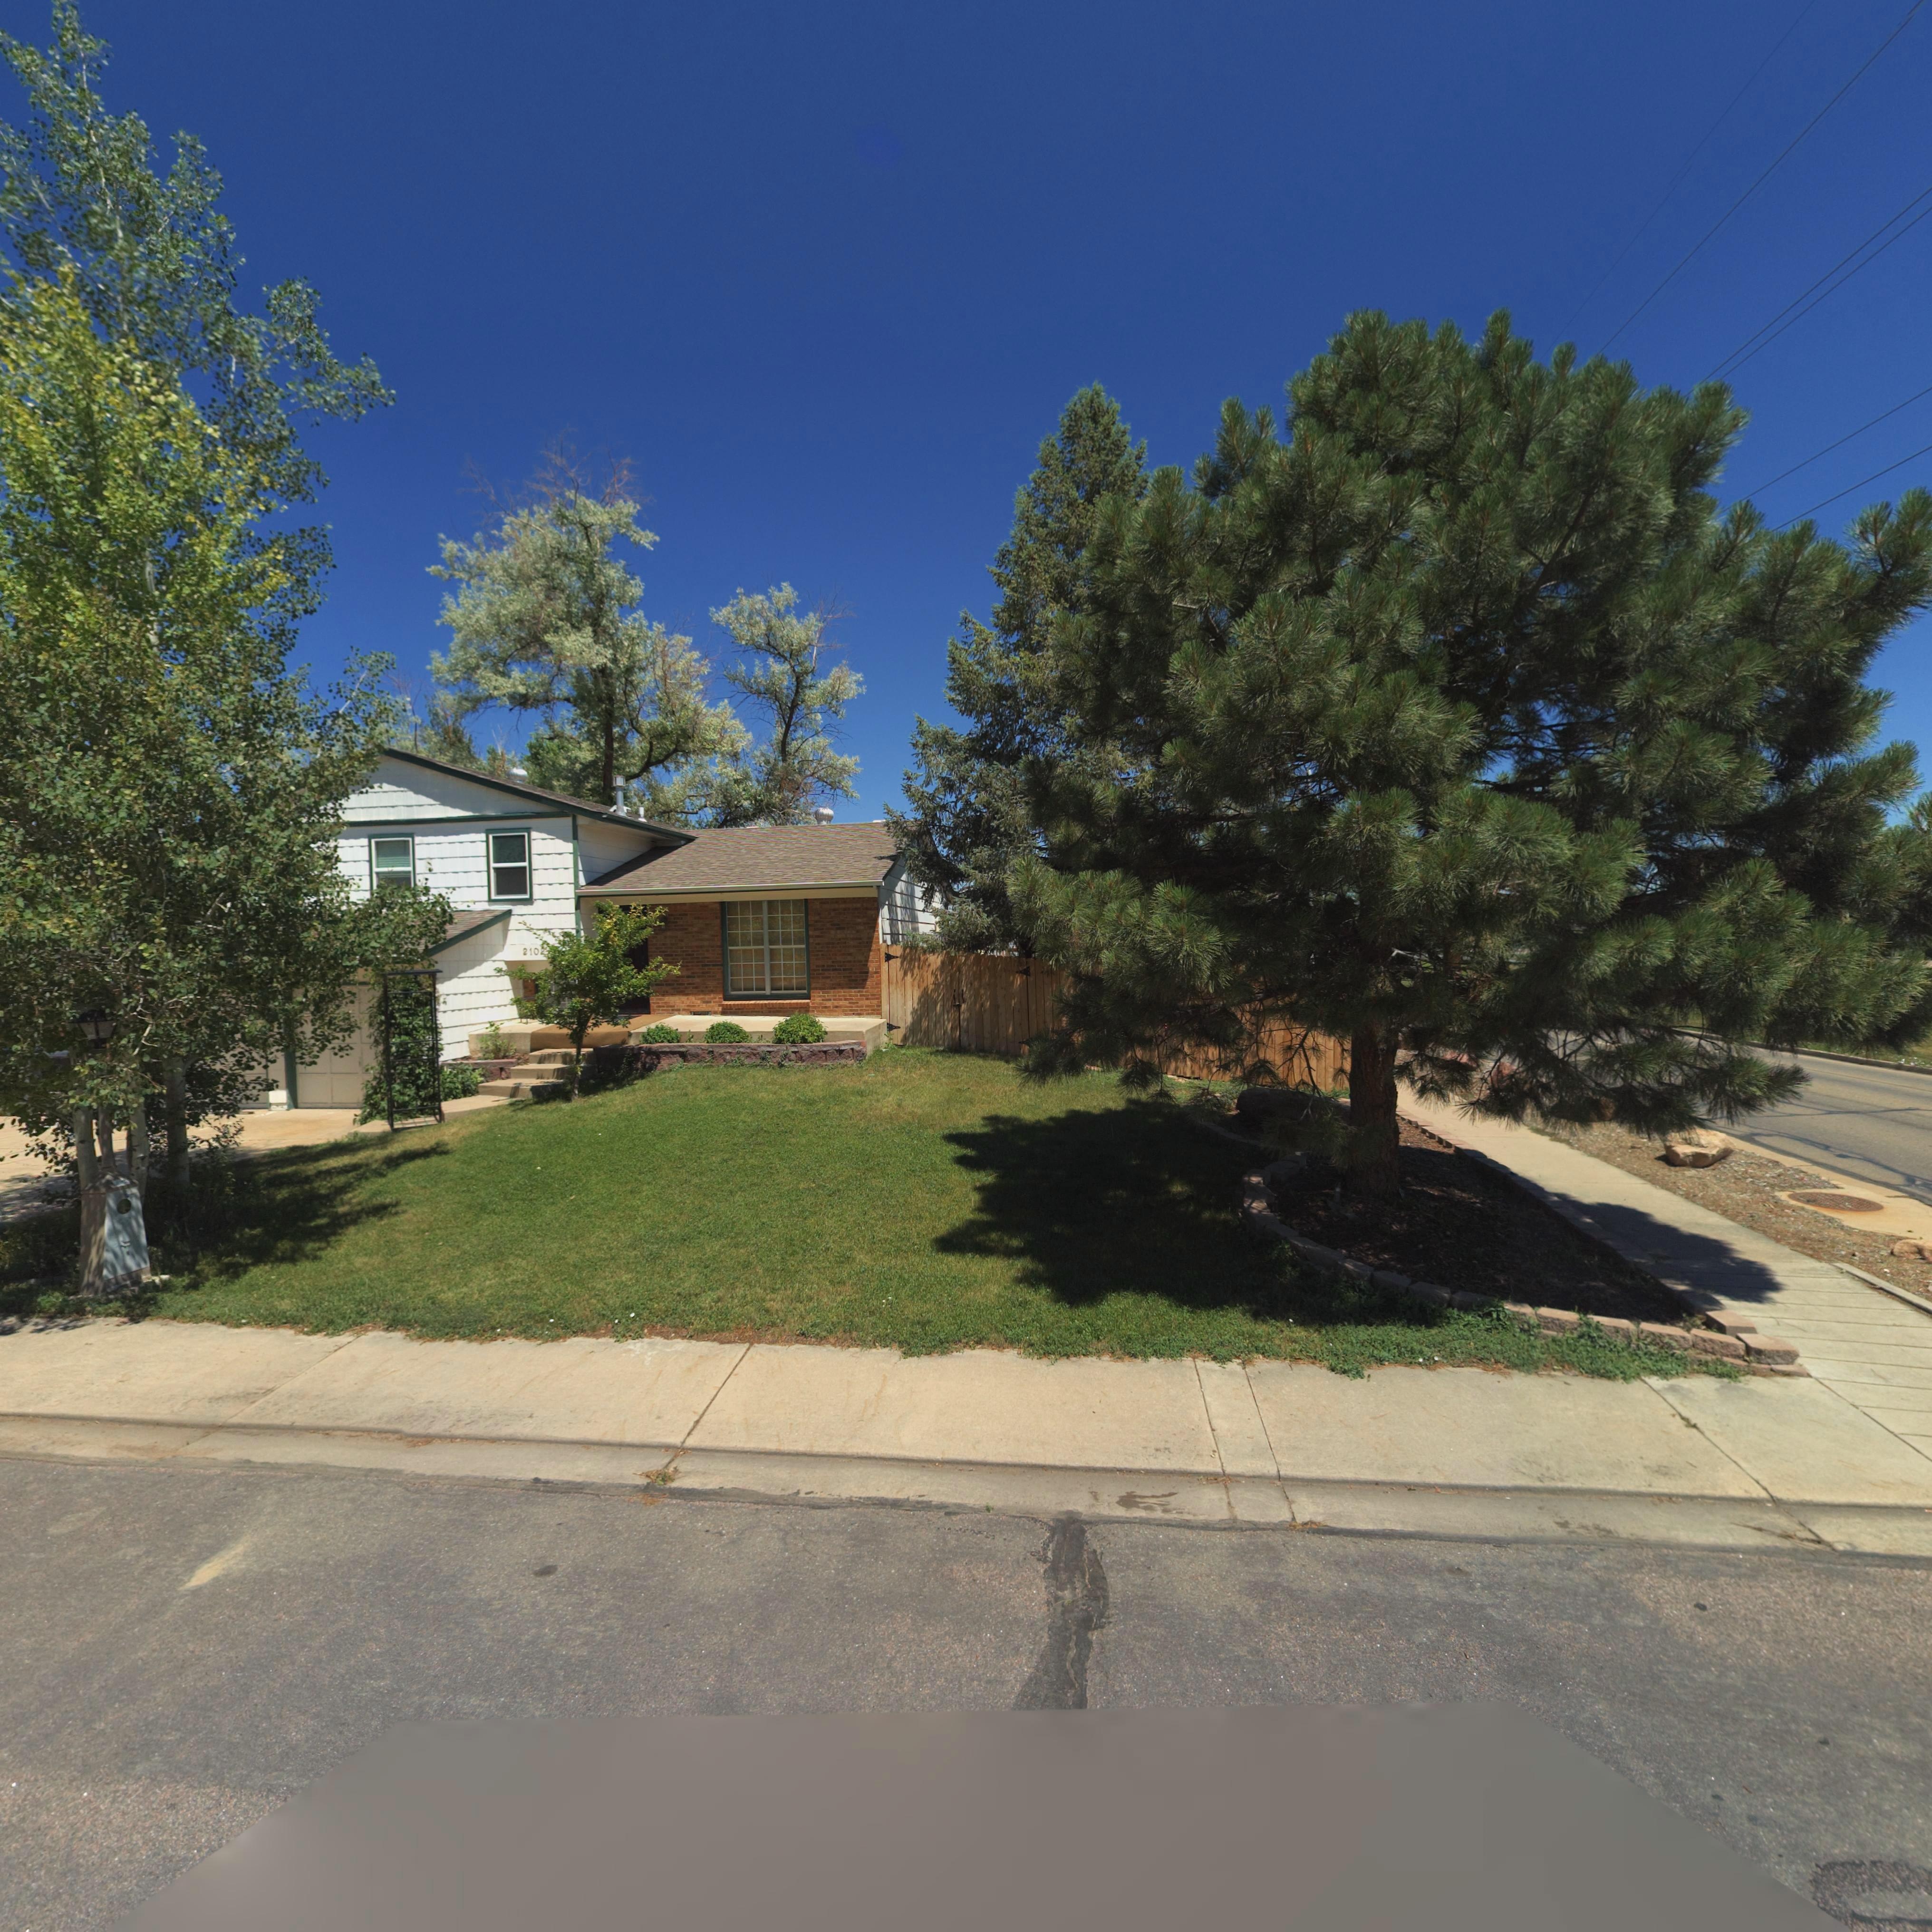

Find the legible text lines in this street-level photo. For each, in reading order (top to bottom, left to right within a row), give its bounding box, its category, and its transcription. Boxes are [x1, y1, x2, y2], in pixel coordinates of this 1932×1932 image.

[522, 946, 547, 956] StreetNumber: 2102